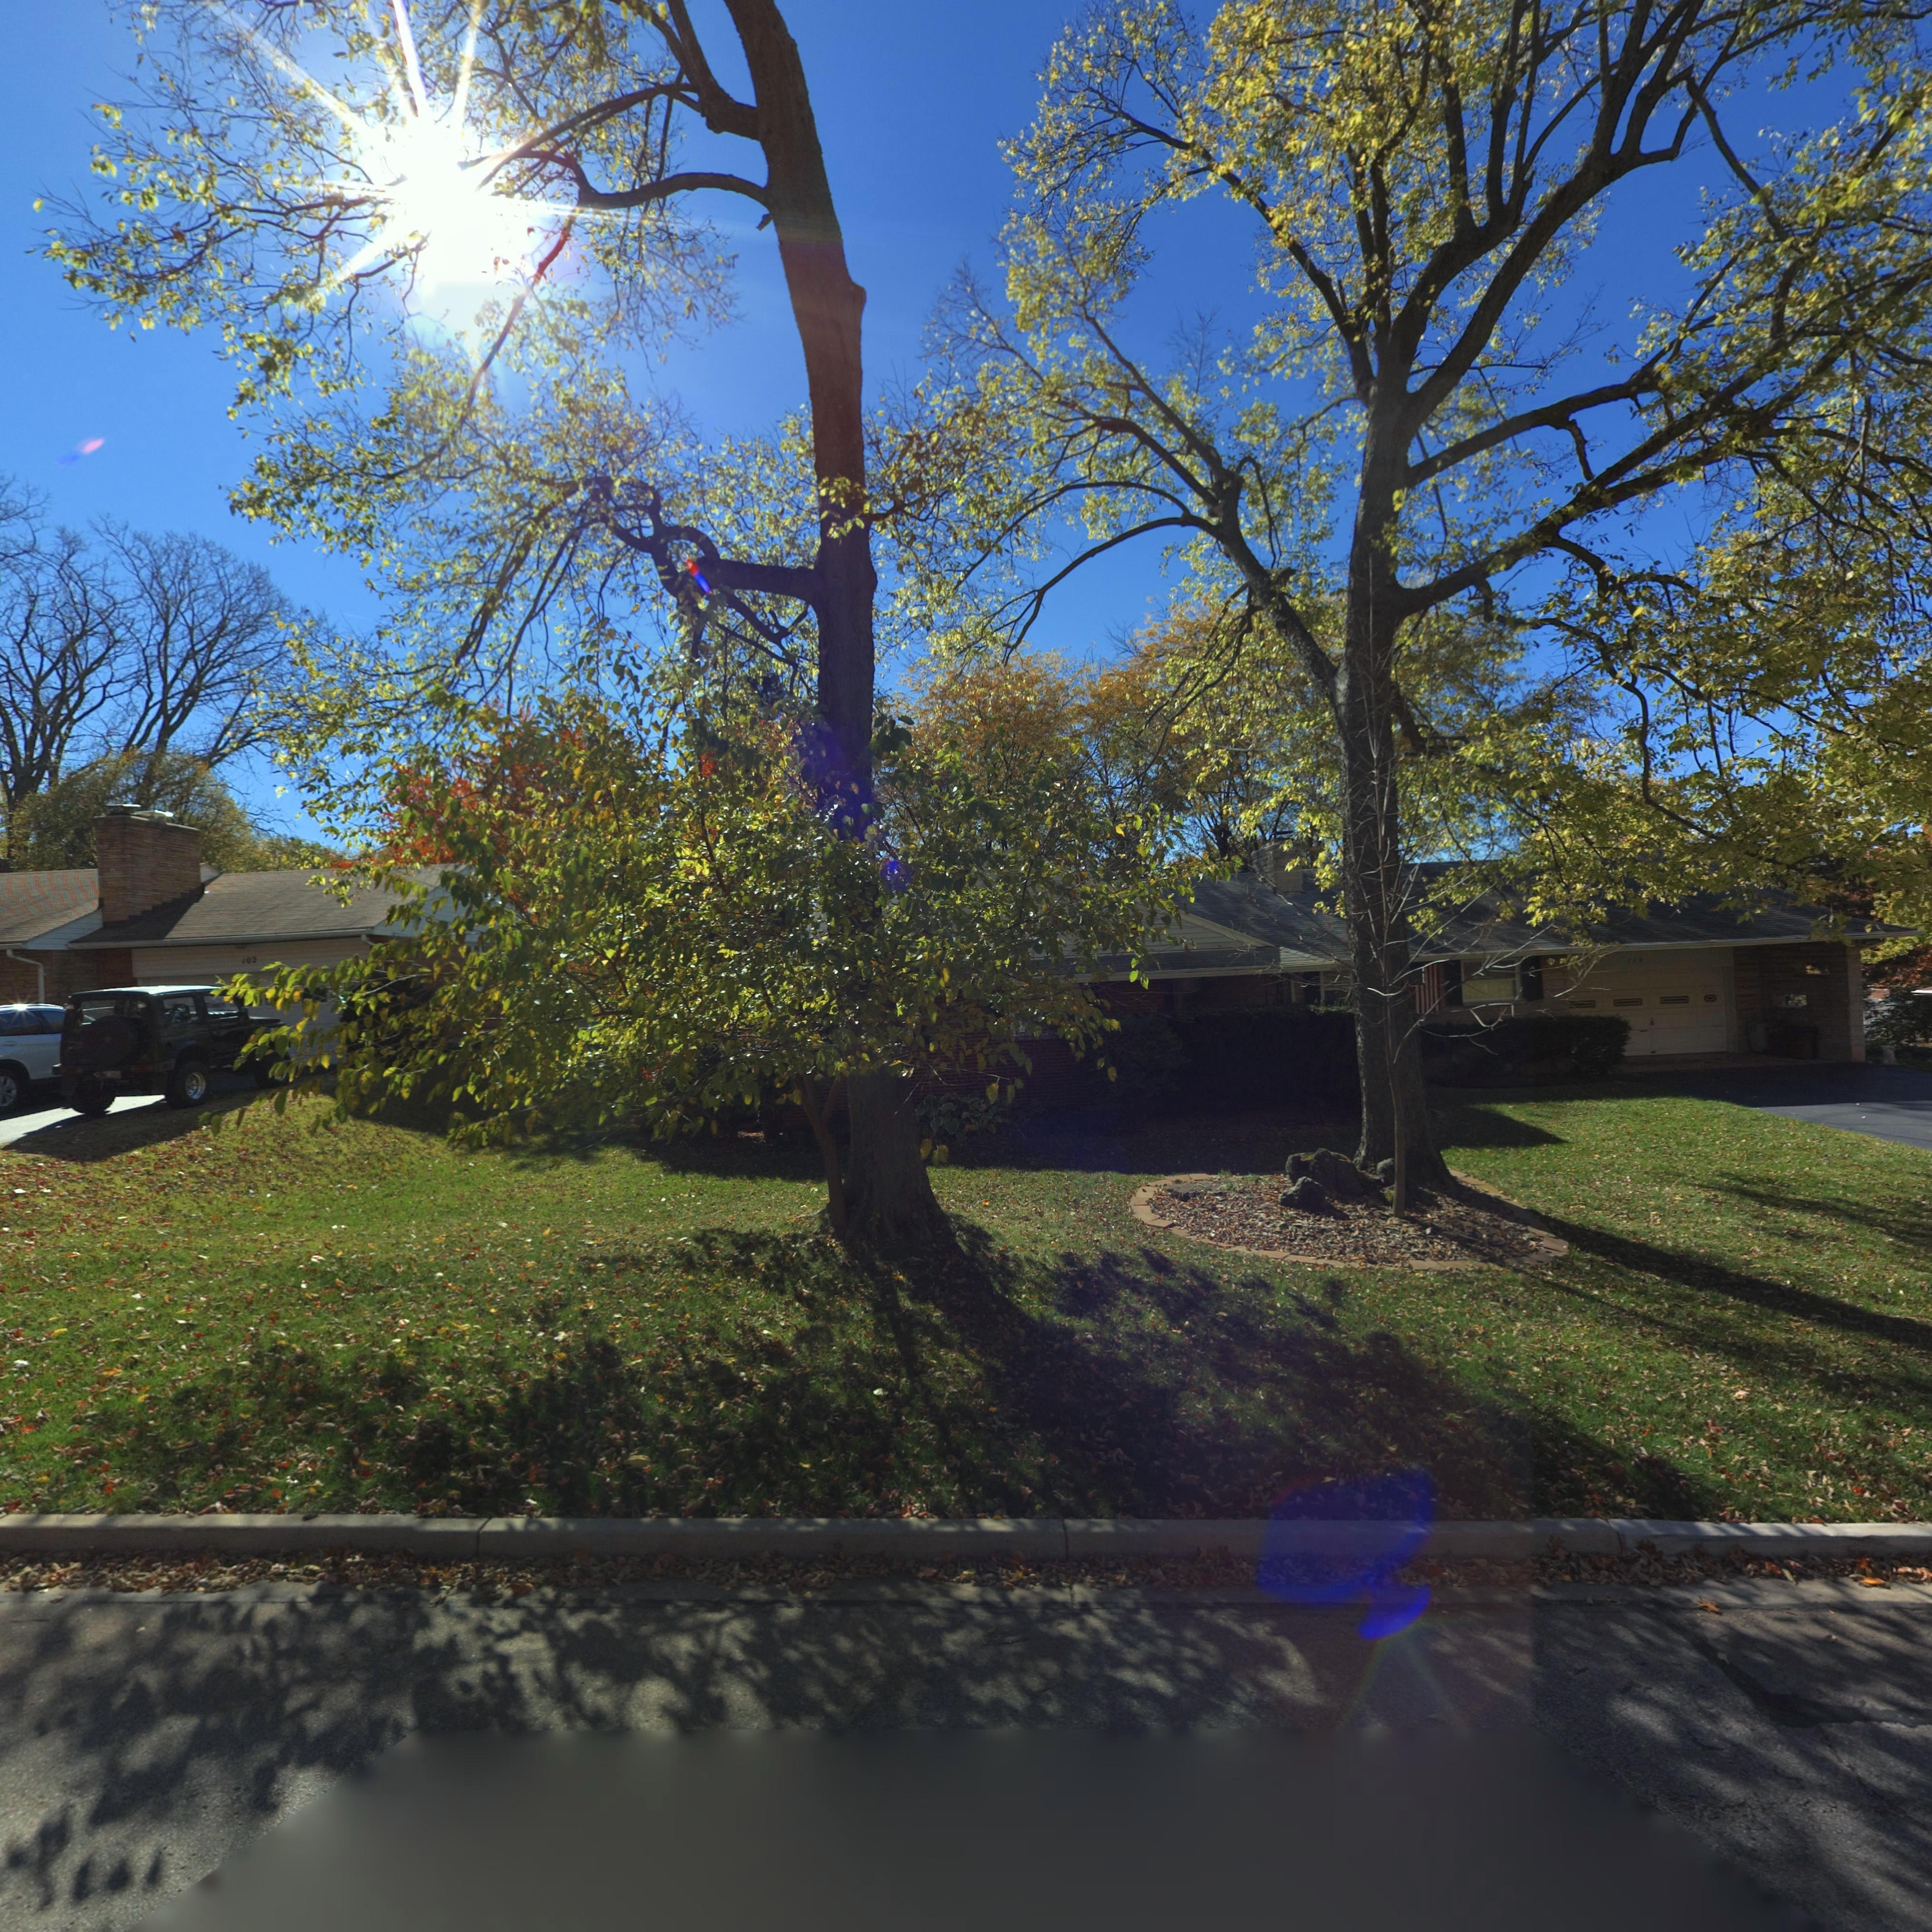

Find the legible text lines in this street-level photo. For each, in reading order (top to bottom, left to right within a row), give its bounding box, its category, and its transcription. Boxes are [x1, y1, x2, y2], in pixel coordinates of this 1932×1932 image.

[241, 956, 258, 964] StreetNumber: 102
[1626, 956, 1644, 964] StreetNumber: 114